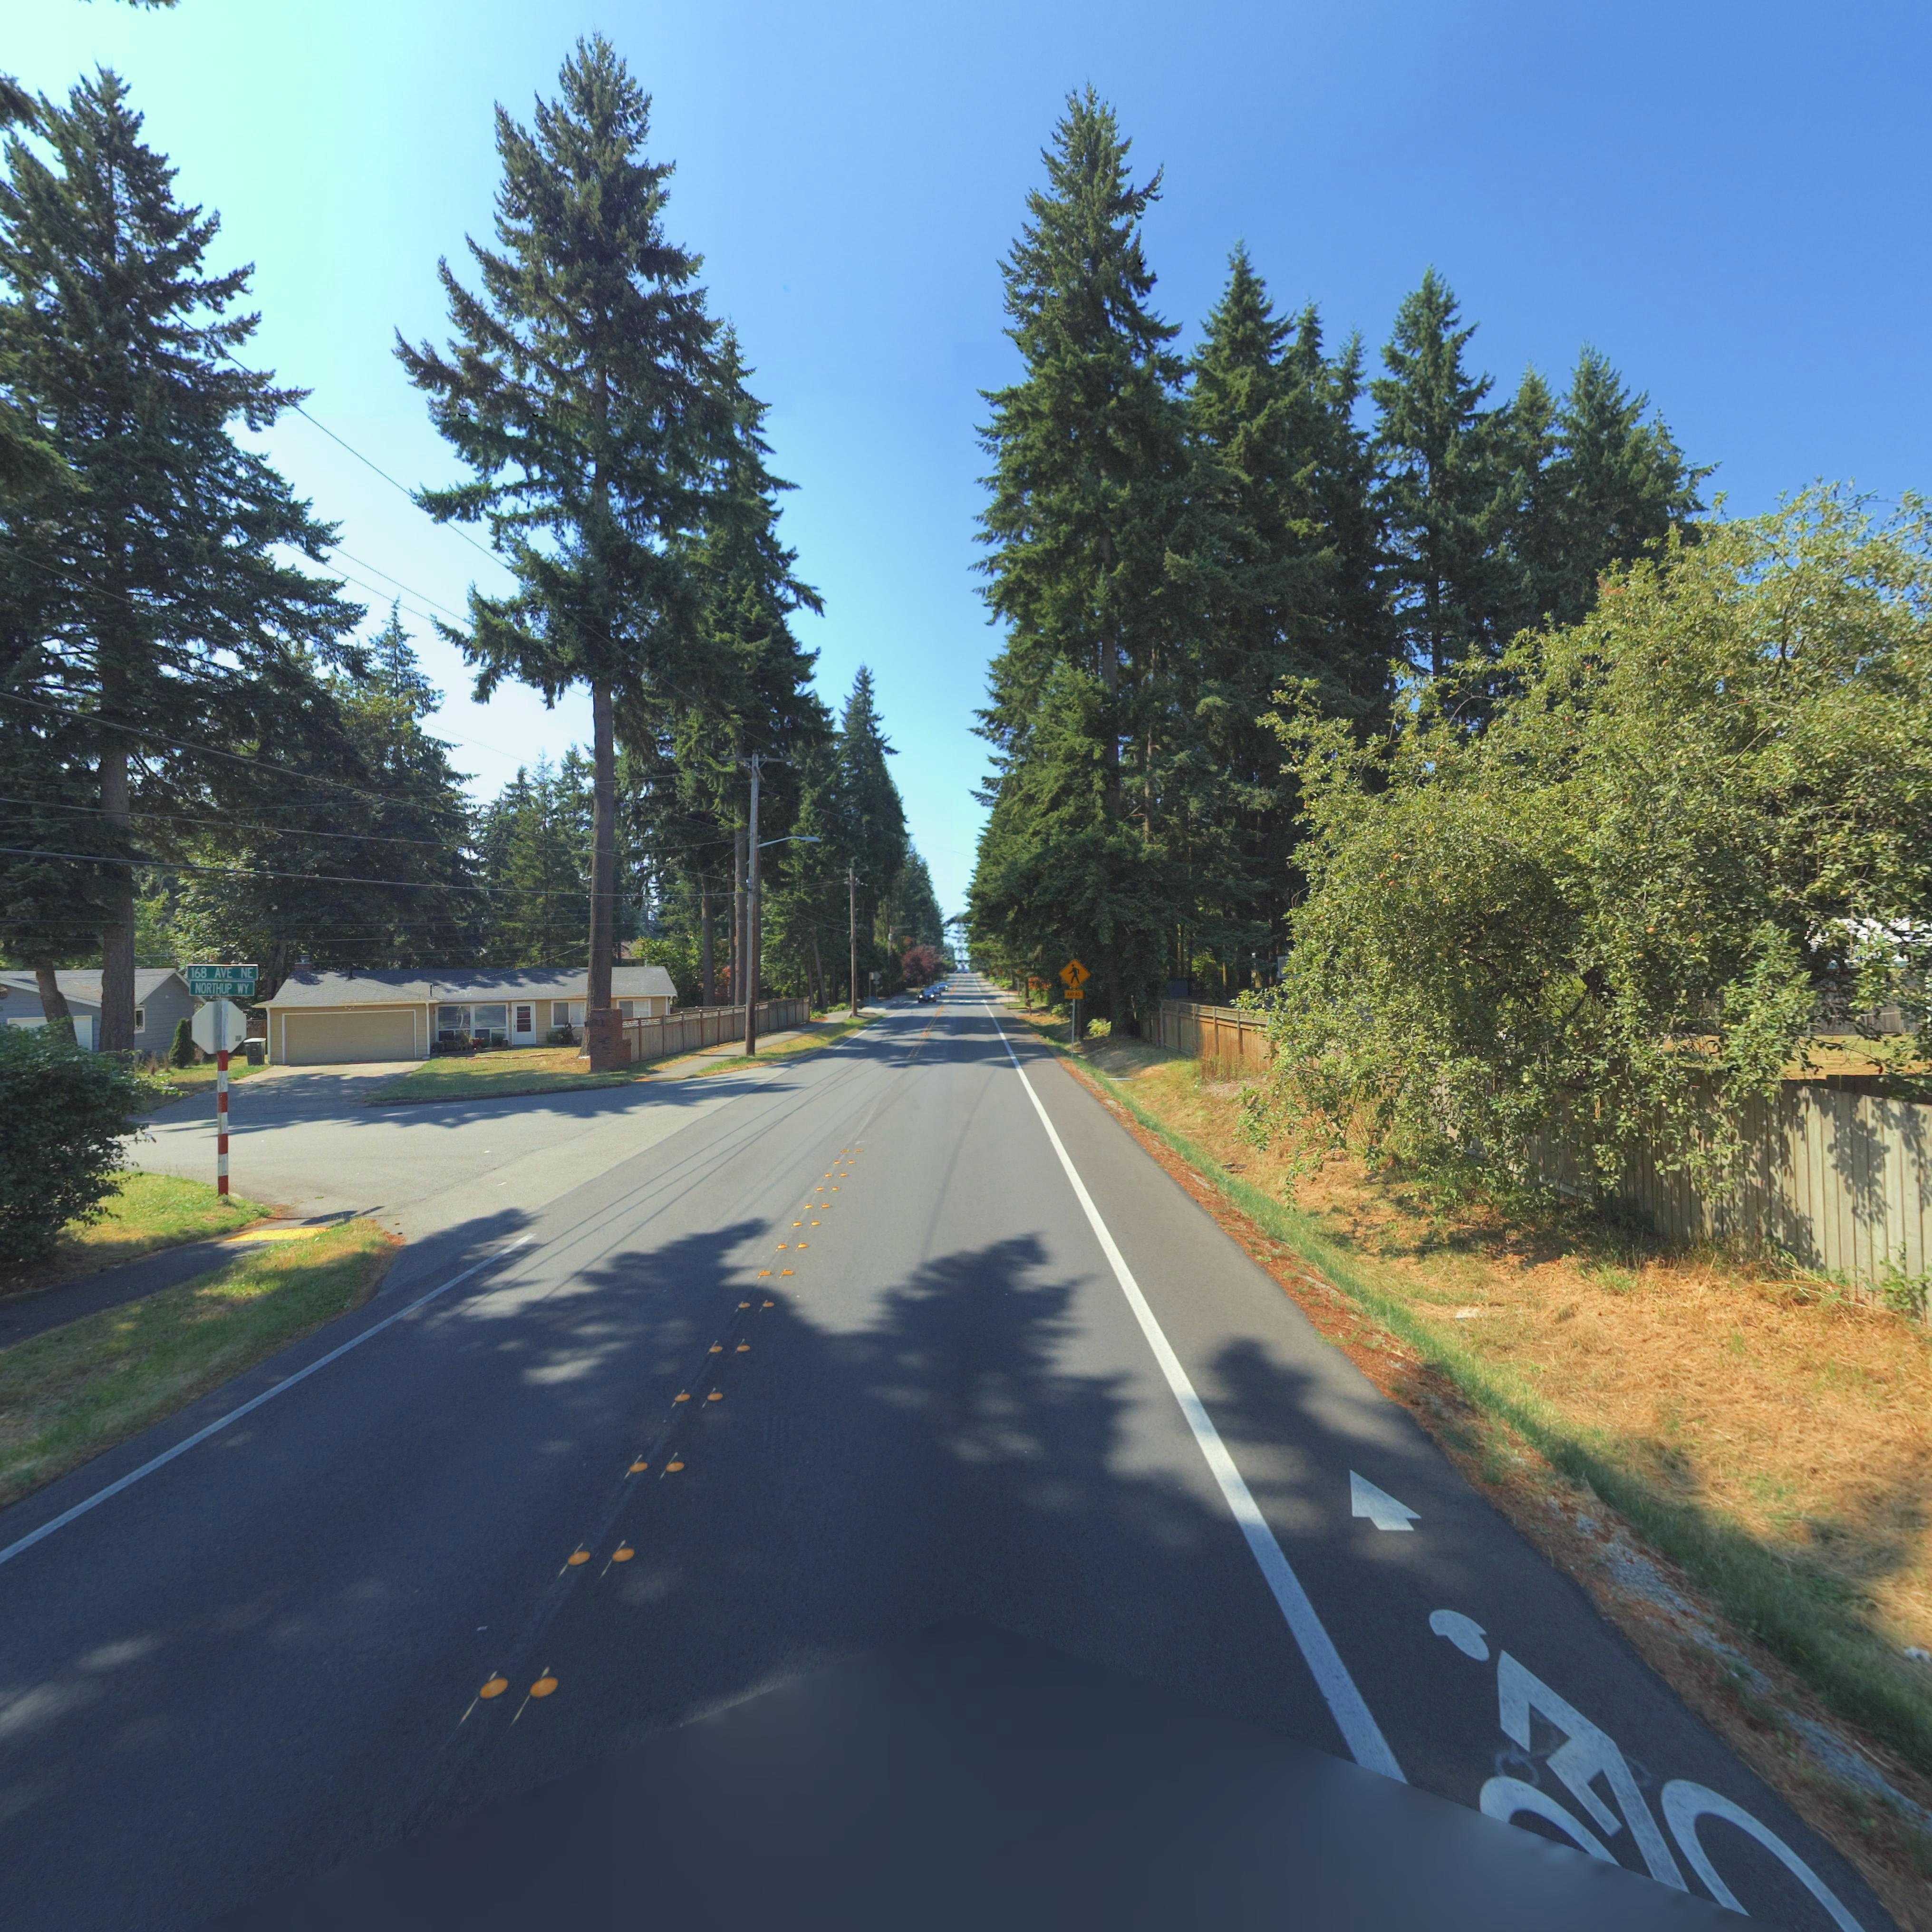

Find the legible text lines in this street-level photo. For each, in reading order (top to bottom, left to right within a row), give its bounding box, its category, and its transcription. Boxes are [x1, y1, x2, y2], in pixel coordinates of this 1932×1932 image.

[191, 966, 253, 978] StreetName: 168 AVE NE
[194, 981, 250, 995] StreetName: NORTHUP WY